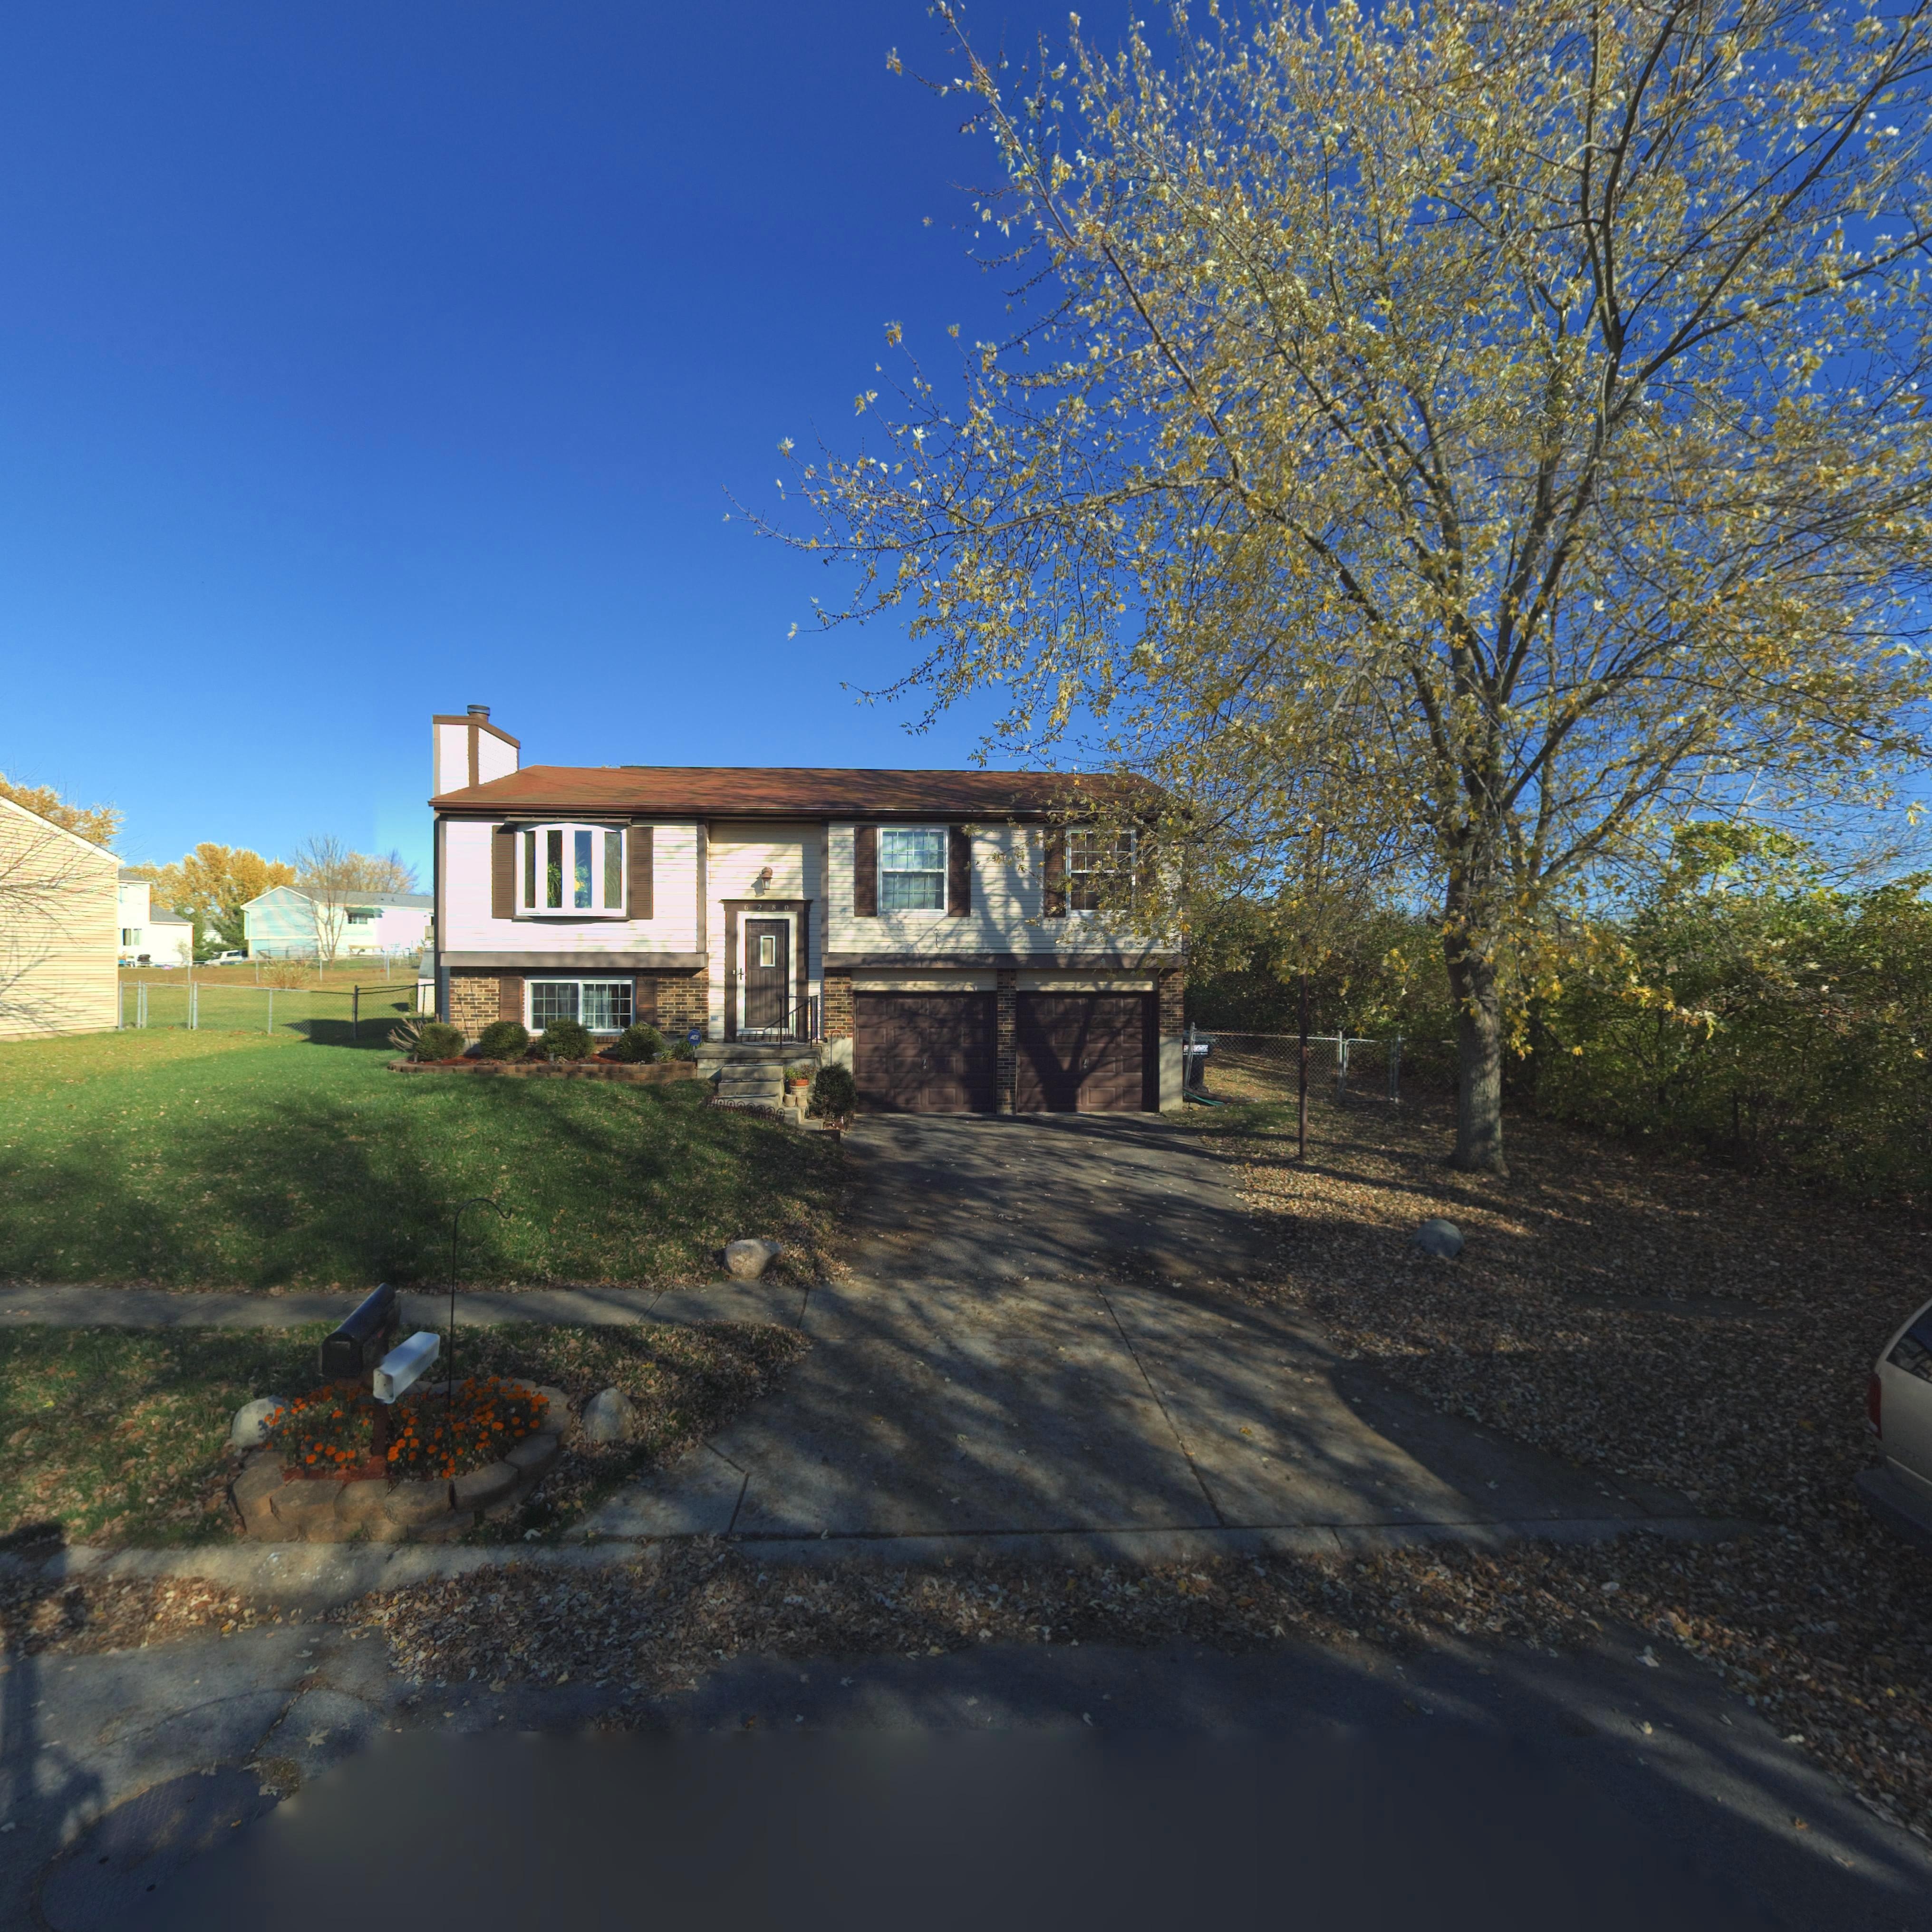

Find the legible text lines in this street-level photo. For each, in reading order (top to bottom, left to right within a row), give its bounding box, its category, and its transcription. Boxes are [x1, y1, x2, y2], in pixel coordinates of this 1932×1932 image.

[744, 904, 789, 911] StreetNumber: 6280